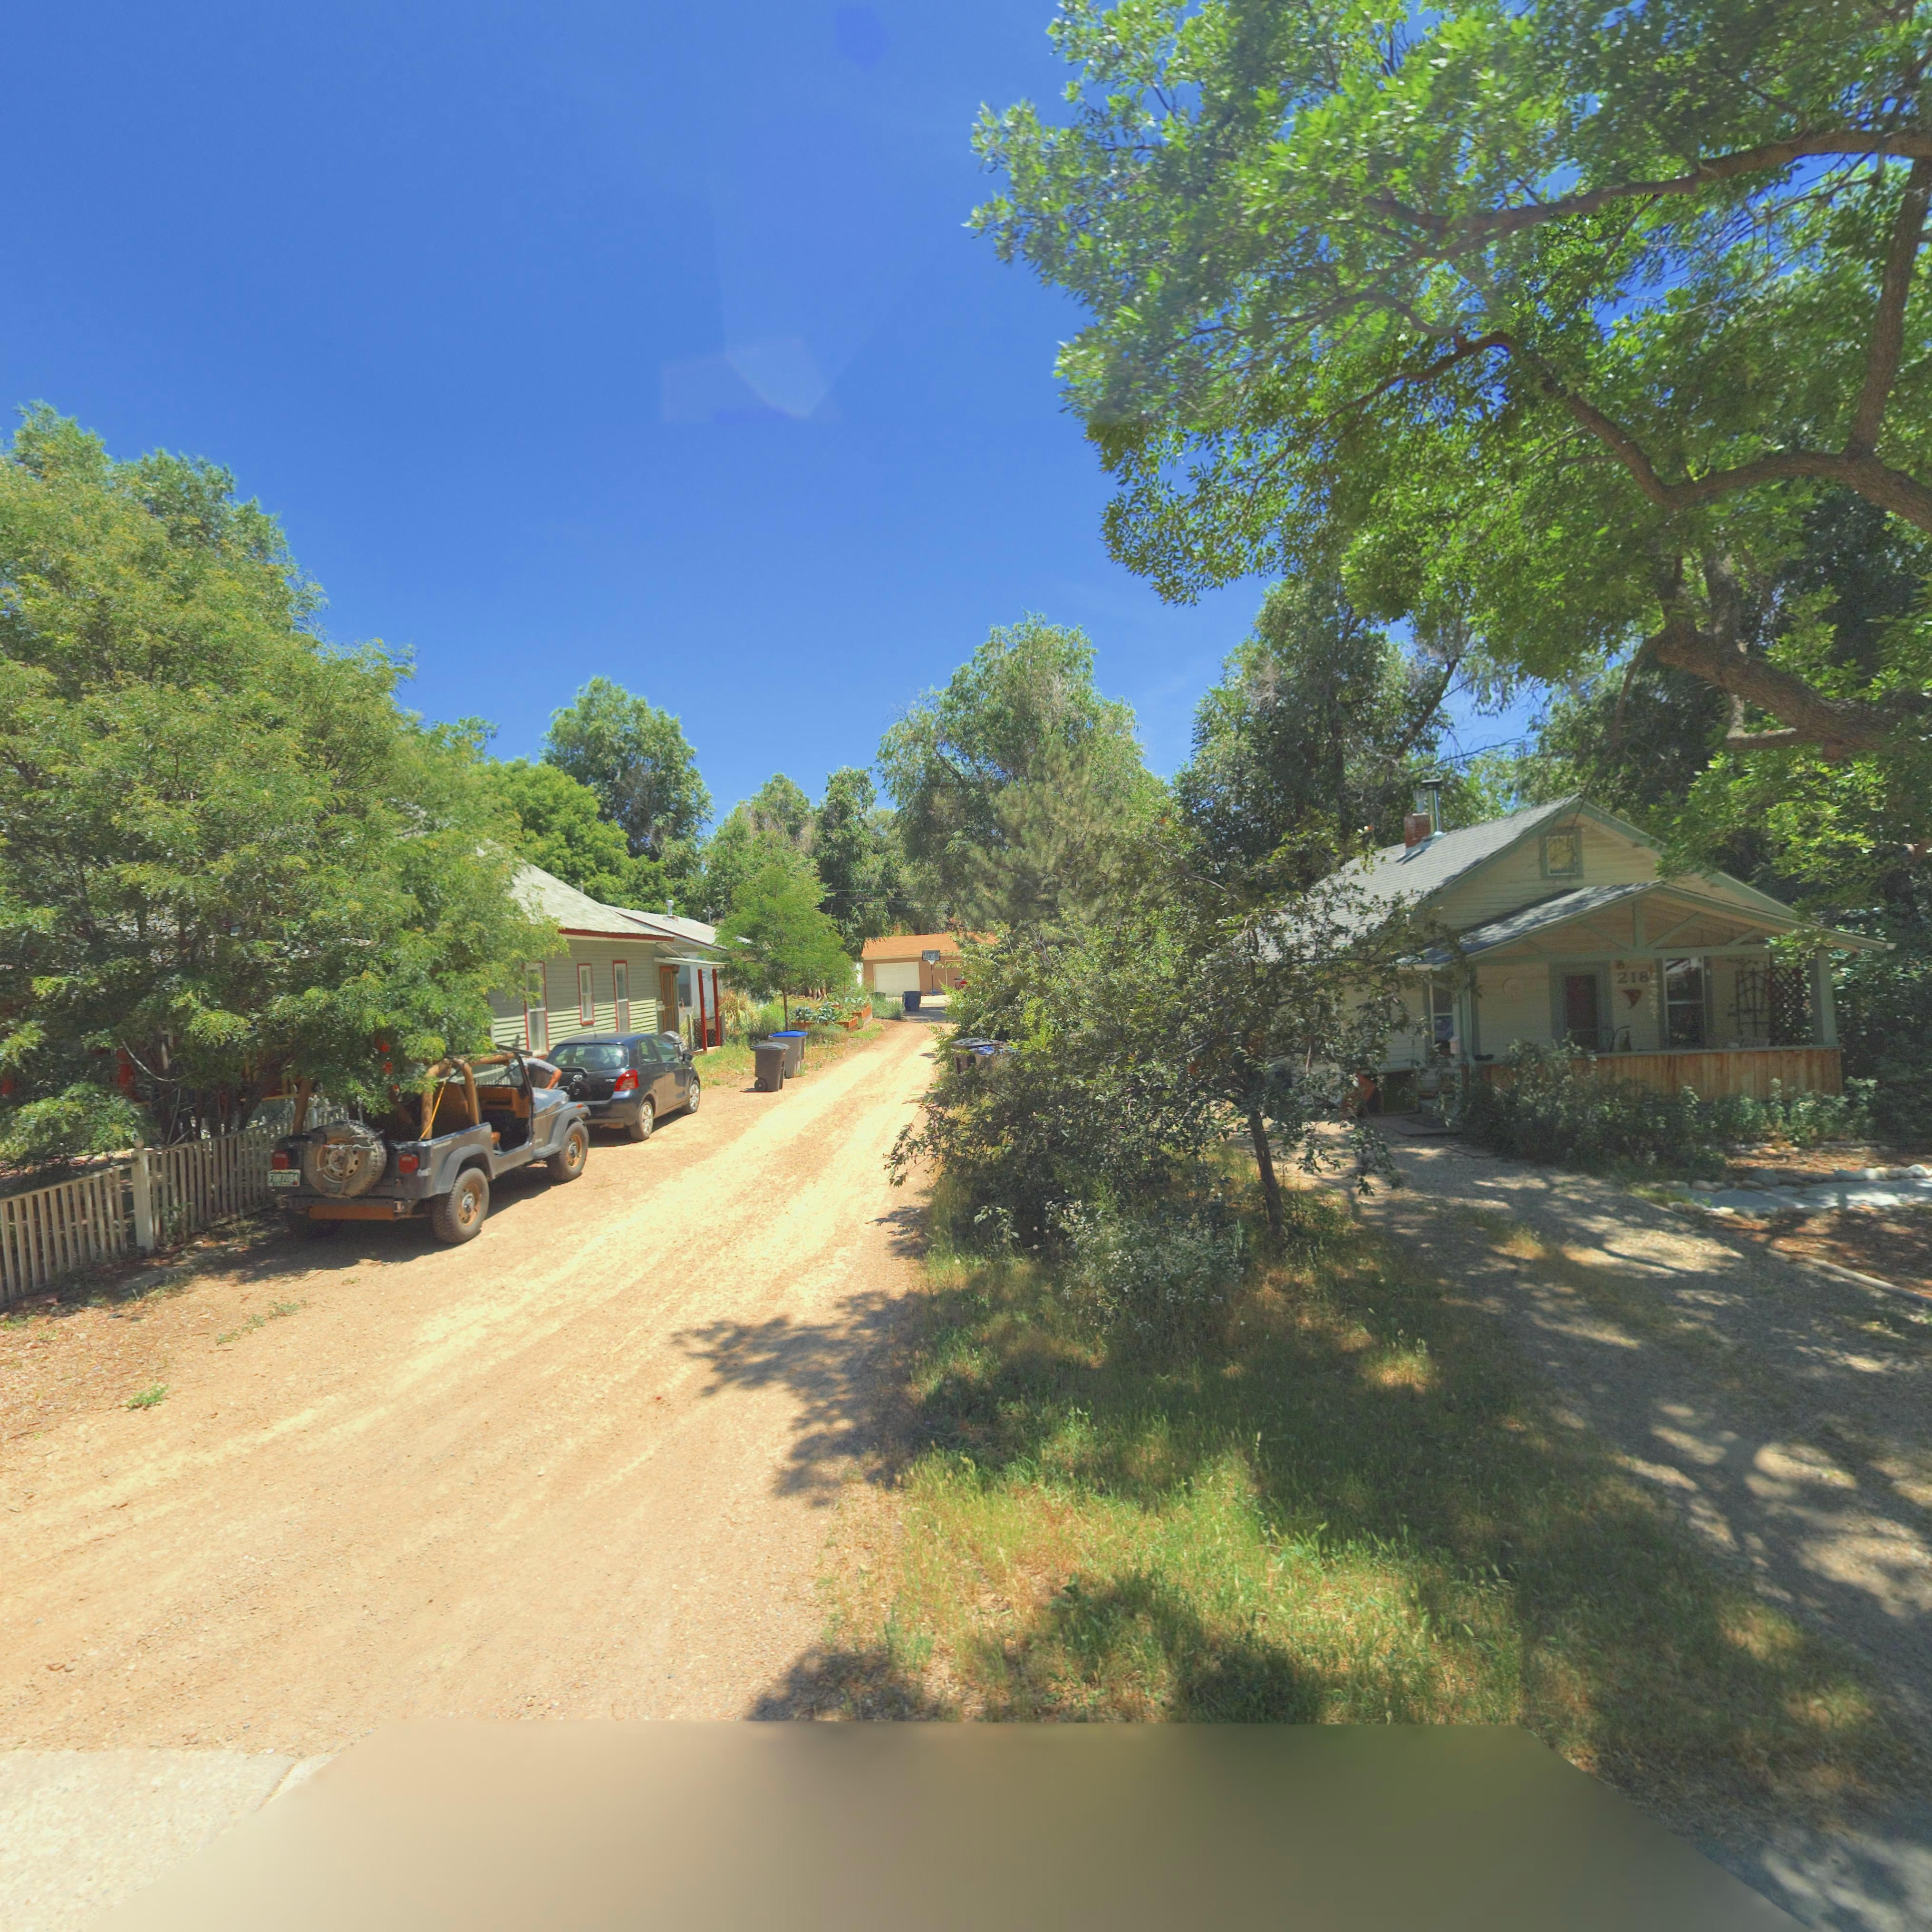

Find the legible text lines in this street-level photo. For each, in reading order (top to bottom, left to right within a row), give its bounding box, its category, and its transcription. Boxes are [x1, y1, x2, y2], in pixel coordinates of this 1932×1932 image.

[1617, 970, 1649, 984] StreetNumber: 218